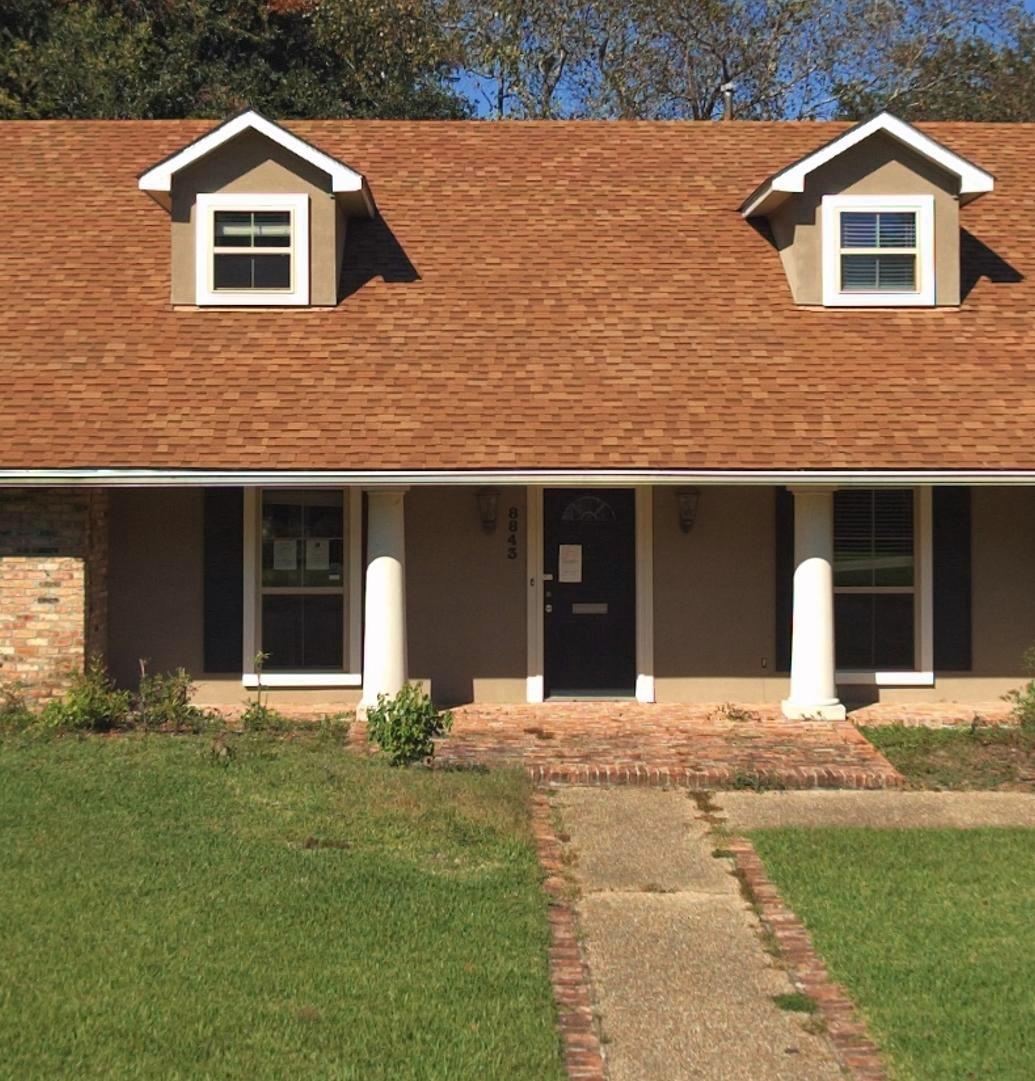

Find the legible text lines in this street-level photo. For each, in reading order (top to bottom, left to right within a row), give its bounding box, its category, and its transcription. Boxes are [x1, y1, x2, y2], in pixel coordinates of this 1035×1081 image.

[504, 505, 520, 562] StreetNumber: 8843